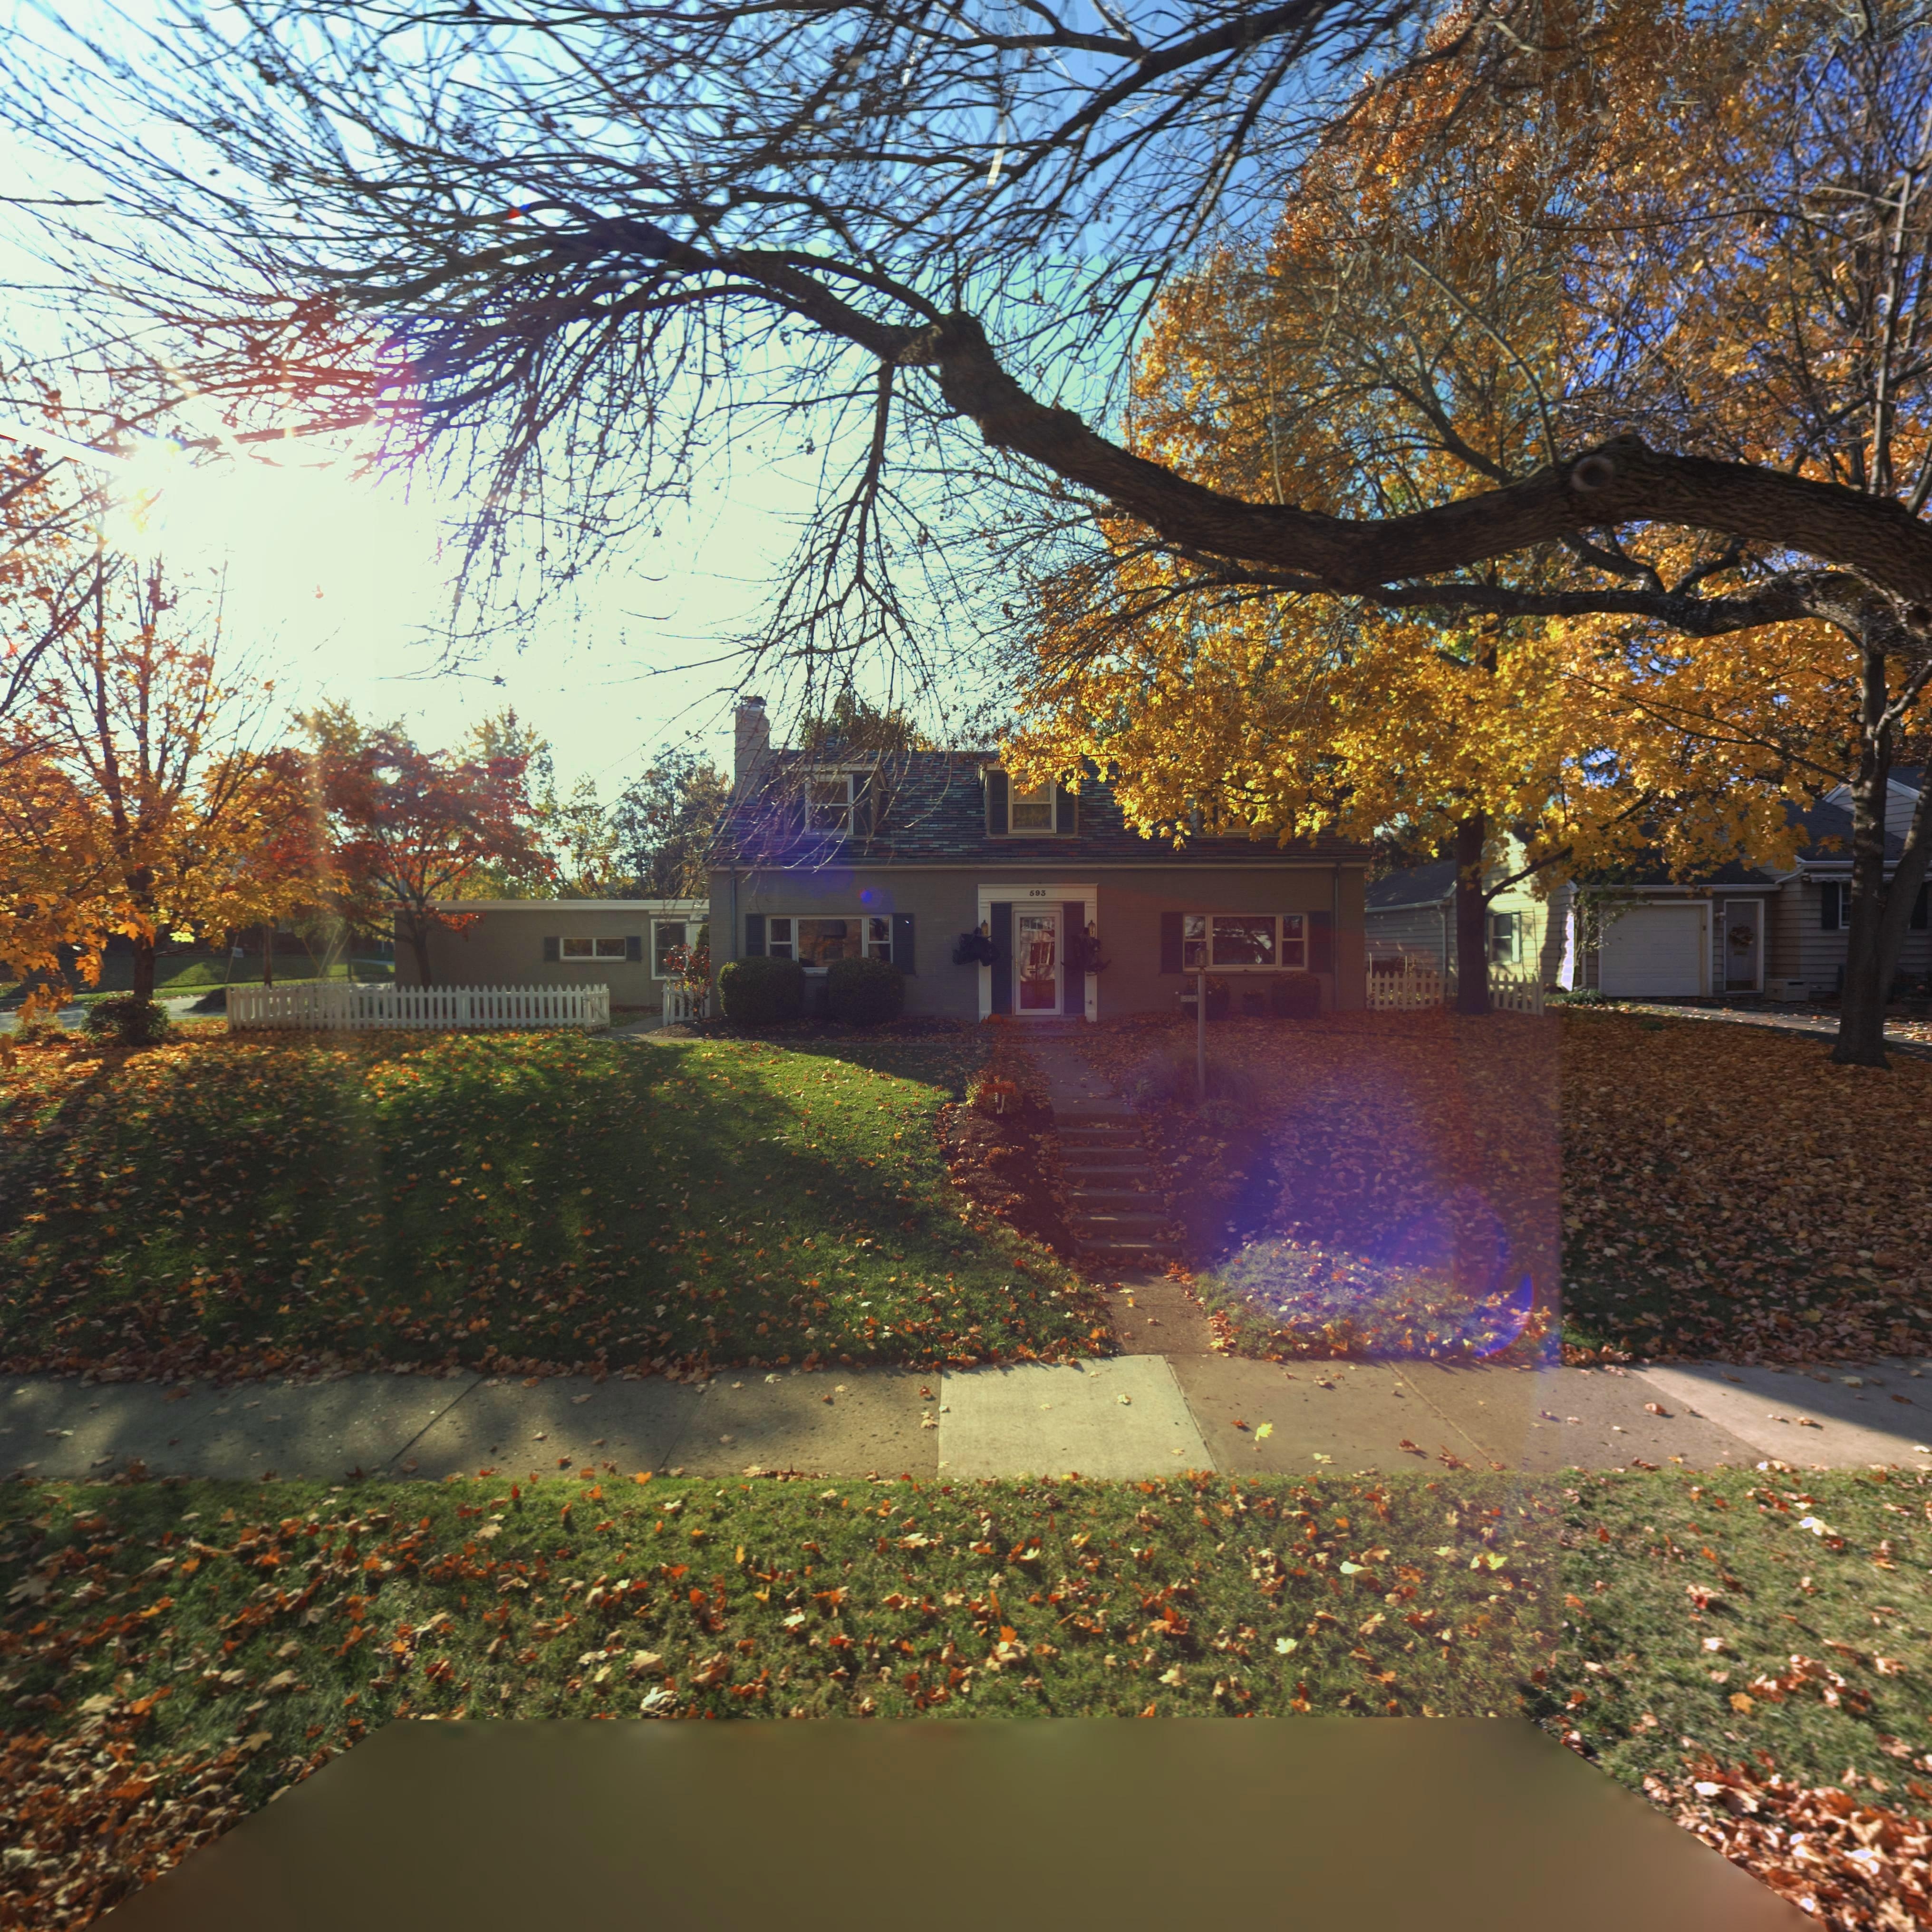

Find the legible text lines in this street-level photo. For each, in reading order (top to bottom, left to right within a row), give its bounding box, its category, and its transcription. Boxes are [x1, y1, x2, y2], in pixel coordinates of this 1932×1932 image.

[1029, 889, 1046, 897] StreetNumber: 593
[1181, 995, 1197, 1002] StreetNumber: 593